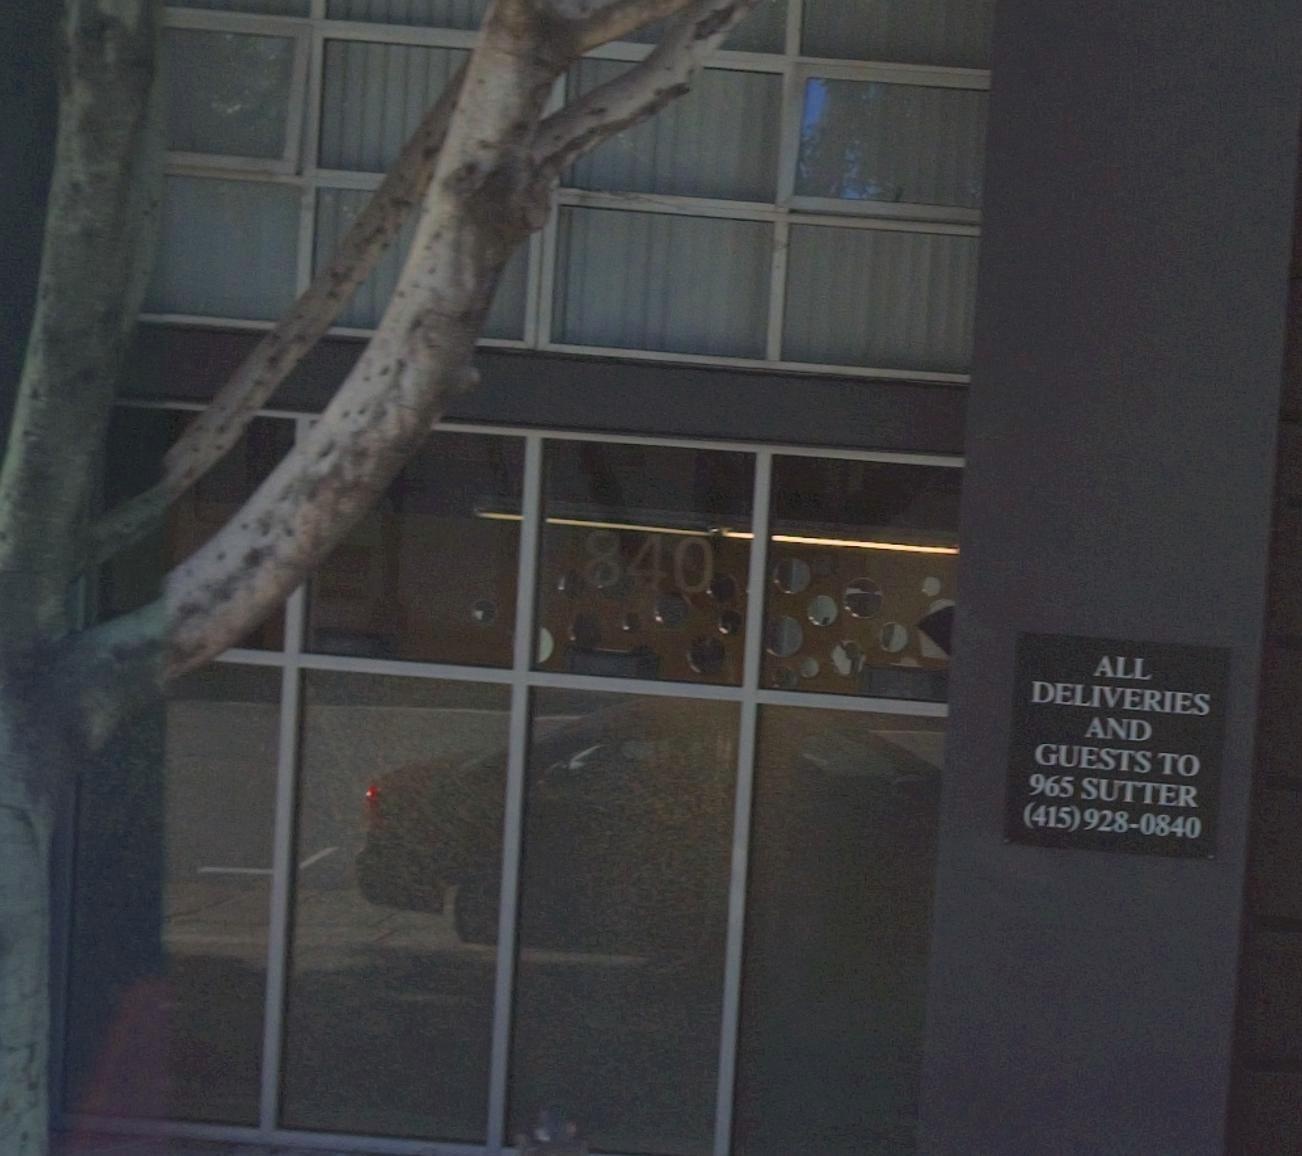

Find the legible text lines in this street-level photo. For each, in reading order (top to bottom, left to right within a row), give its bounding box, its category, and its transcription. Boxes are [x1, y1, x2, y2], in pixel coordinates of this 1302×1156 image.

[577, 527, 719, 597] StreetNumber: 840
[1090, 653, 1156, 682] None: ALL
[1029, 678, 1214, 718] None: DELIVERIES
[1080, 714, 1154, 744] None: AND
[1032, 740, 1202, 780] None: GUESTS TO
[1026, 772, 1202, 811] None: 965 SUTTER
[1019, 799, 1203, 842] None: (415)928-0840